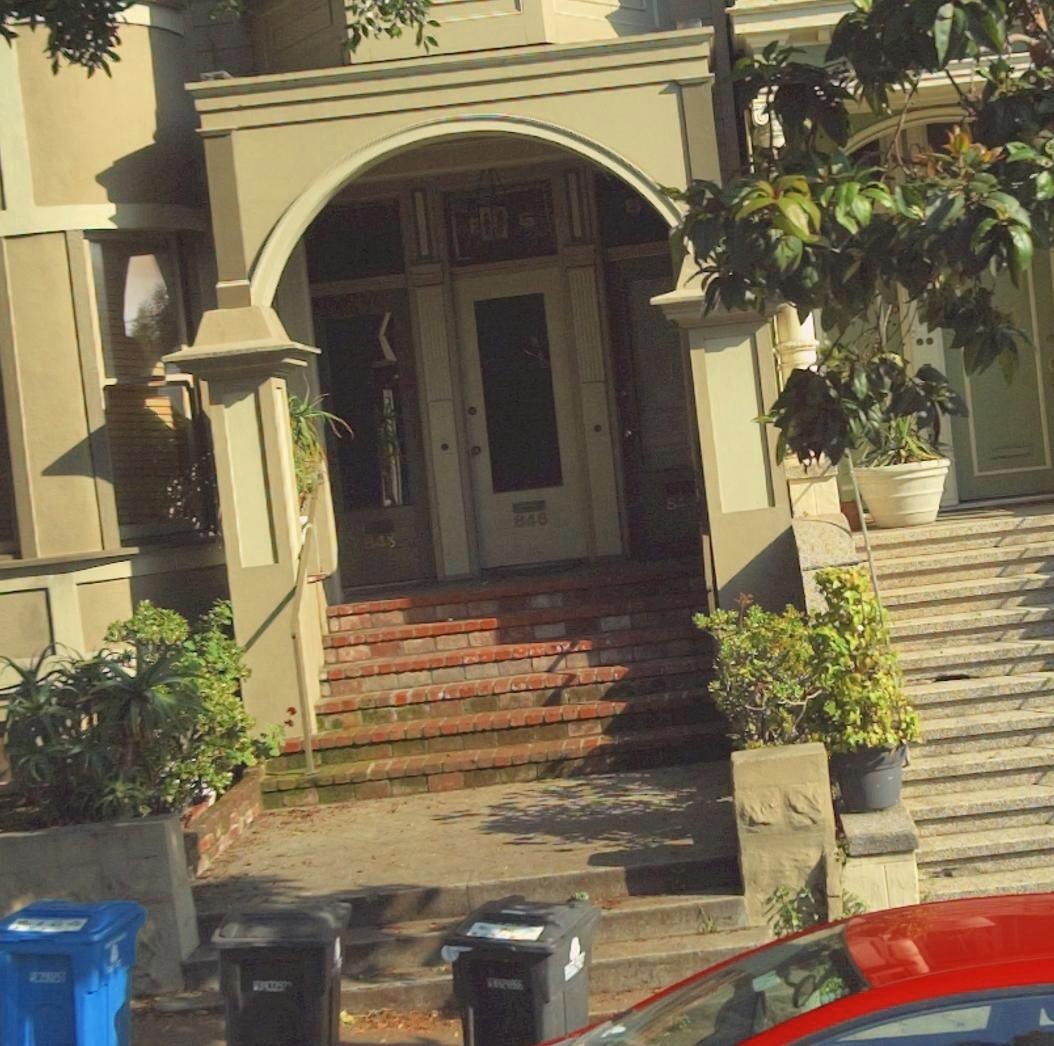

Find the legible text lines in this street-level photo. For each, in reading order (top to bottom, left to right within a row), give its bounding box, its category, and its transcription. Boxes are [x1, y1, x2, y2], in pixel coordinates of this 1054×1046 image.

[664, 495, 680, 511] StreetNumber: 8
[511, 508, 549, 531] StreetNumber: 846
[362, 529, 398, 554] StreetNumber: 848